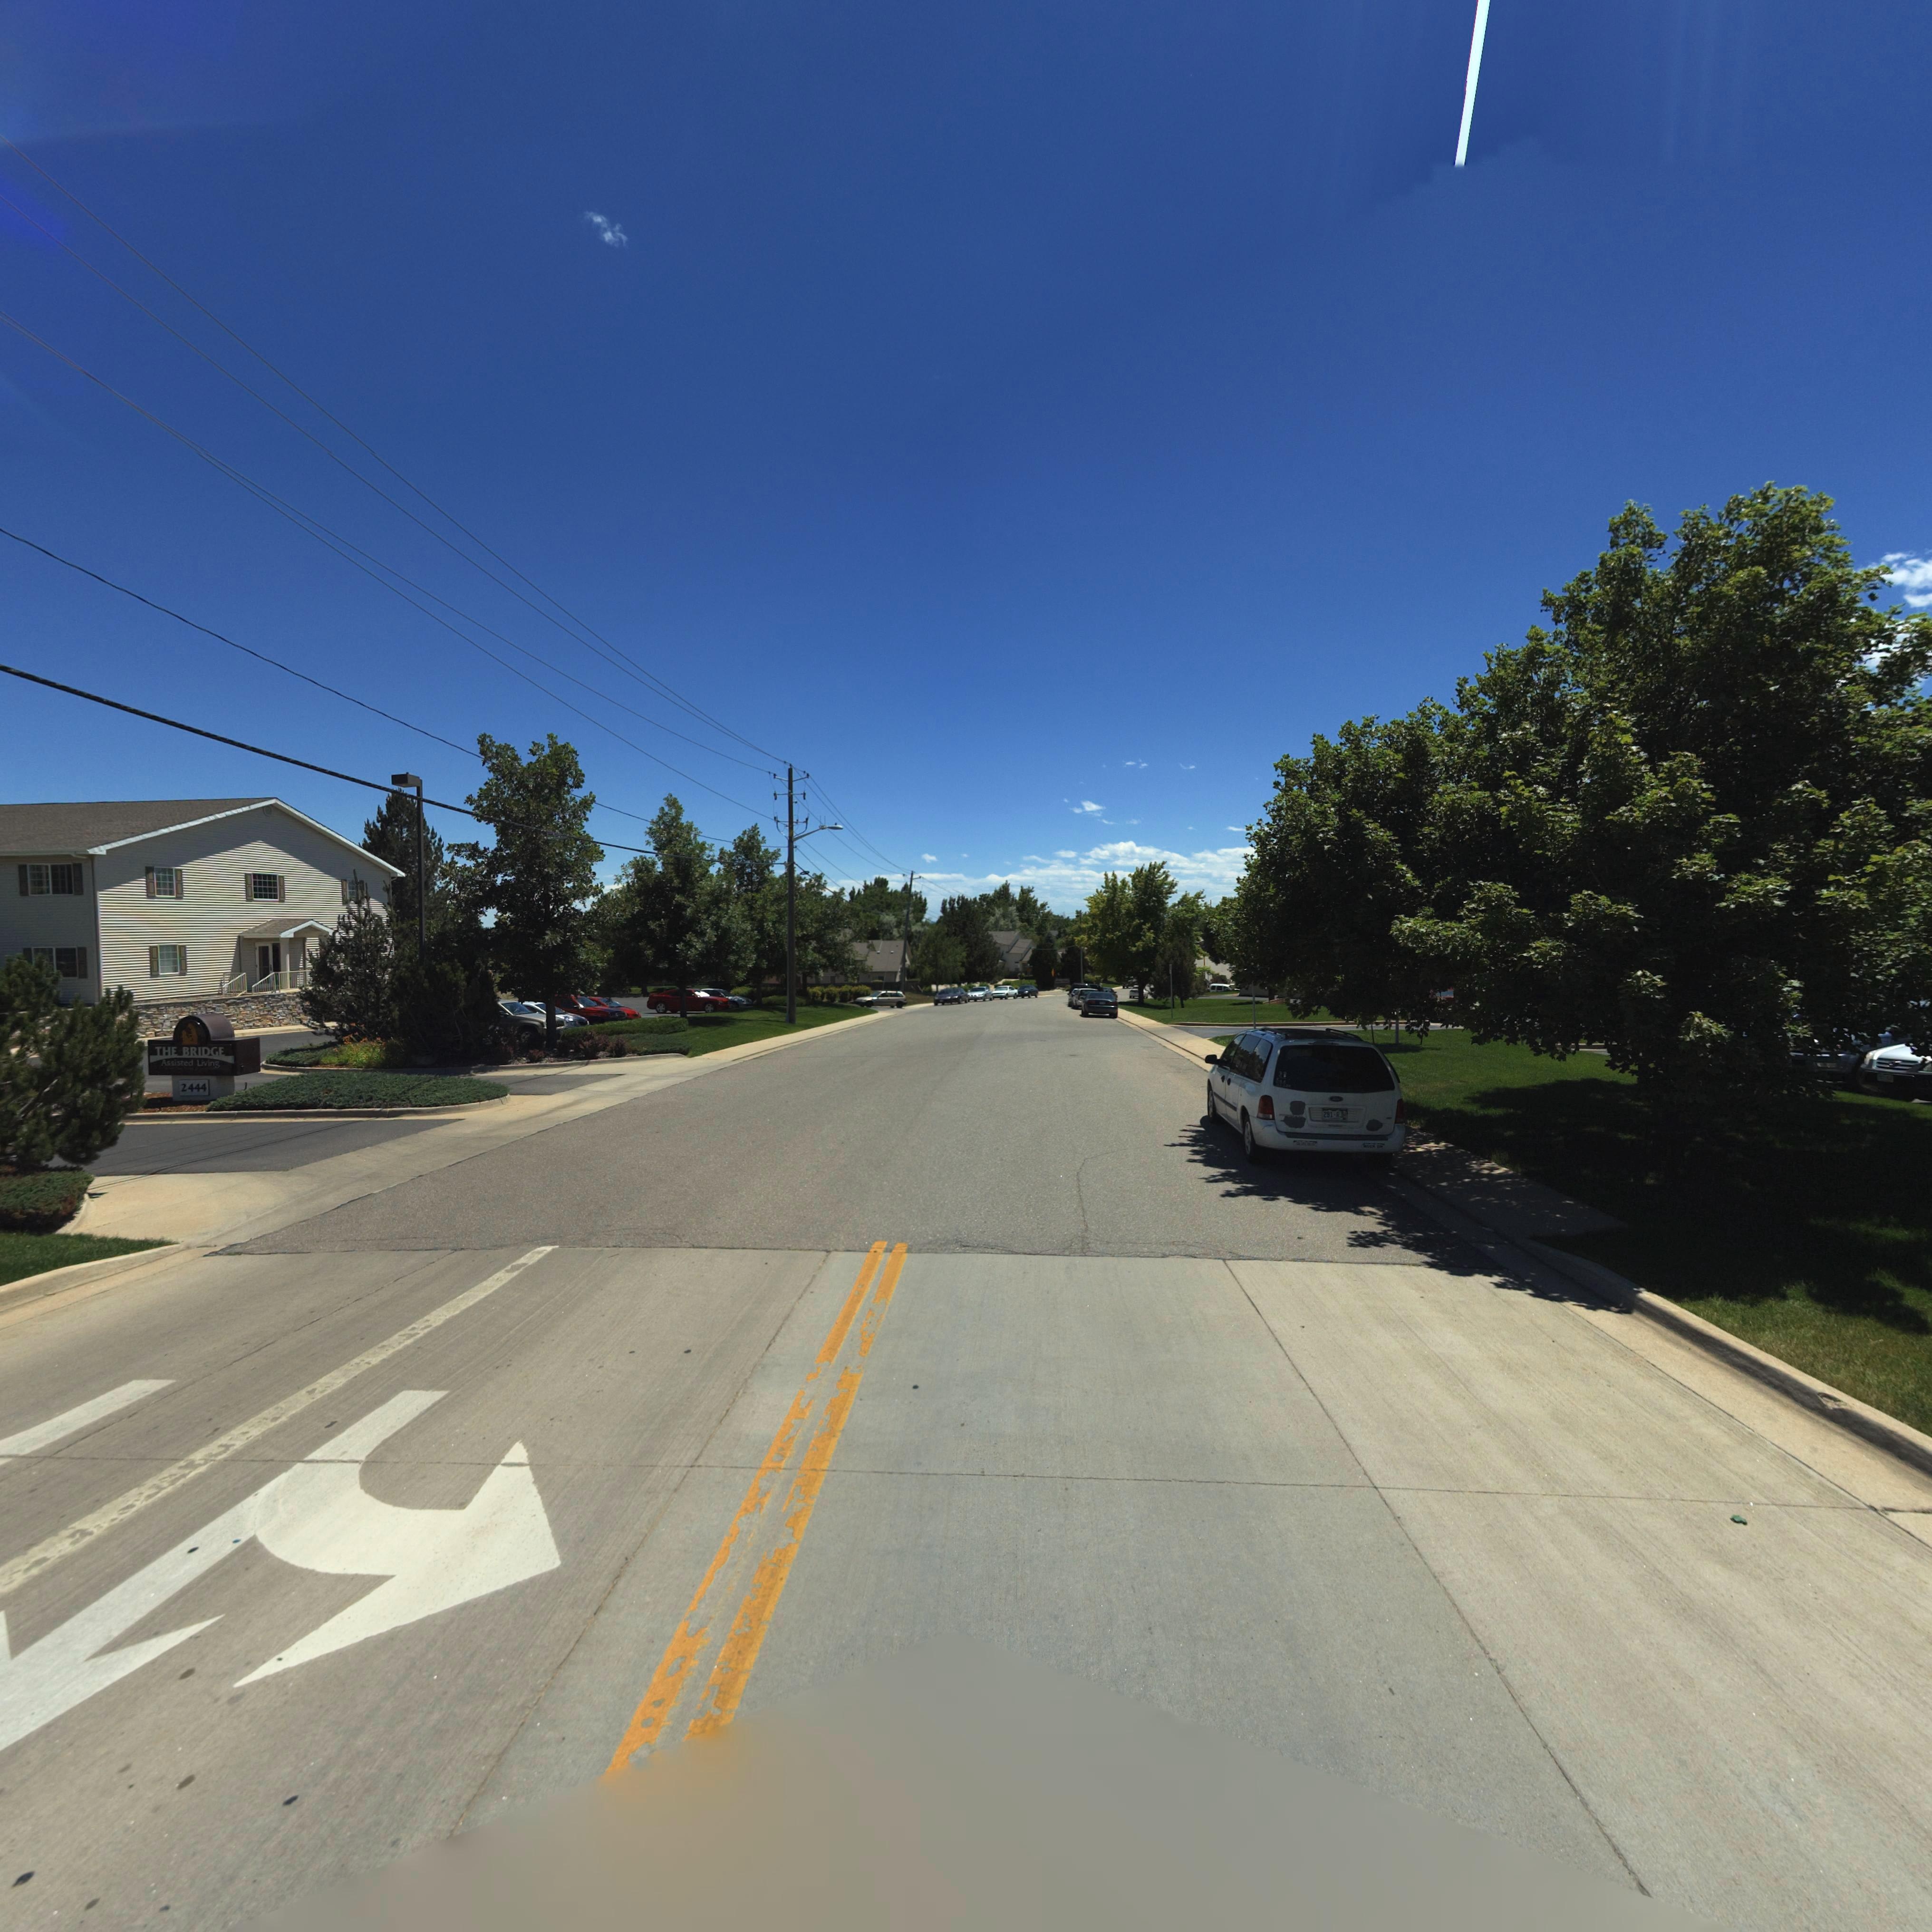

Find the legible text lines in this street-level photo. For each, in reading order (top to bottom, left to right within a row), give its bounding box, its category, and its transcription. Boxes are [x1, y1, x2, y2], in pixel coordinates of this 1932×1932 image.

[155, 1045, 225, 1056] BusinessName: THE BRIDGE
[160, 1058, 221, 1069] BusinessName: Assisted Living
[180, 1082, 207, 1092] StreetNumber: 2444